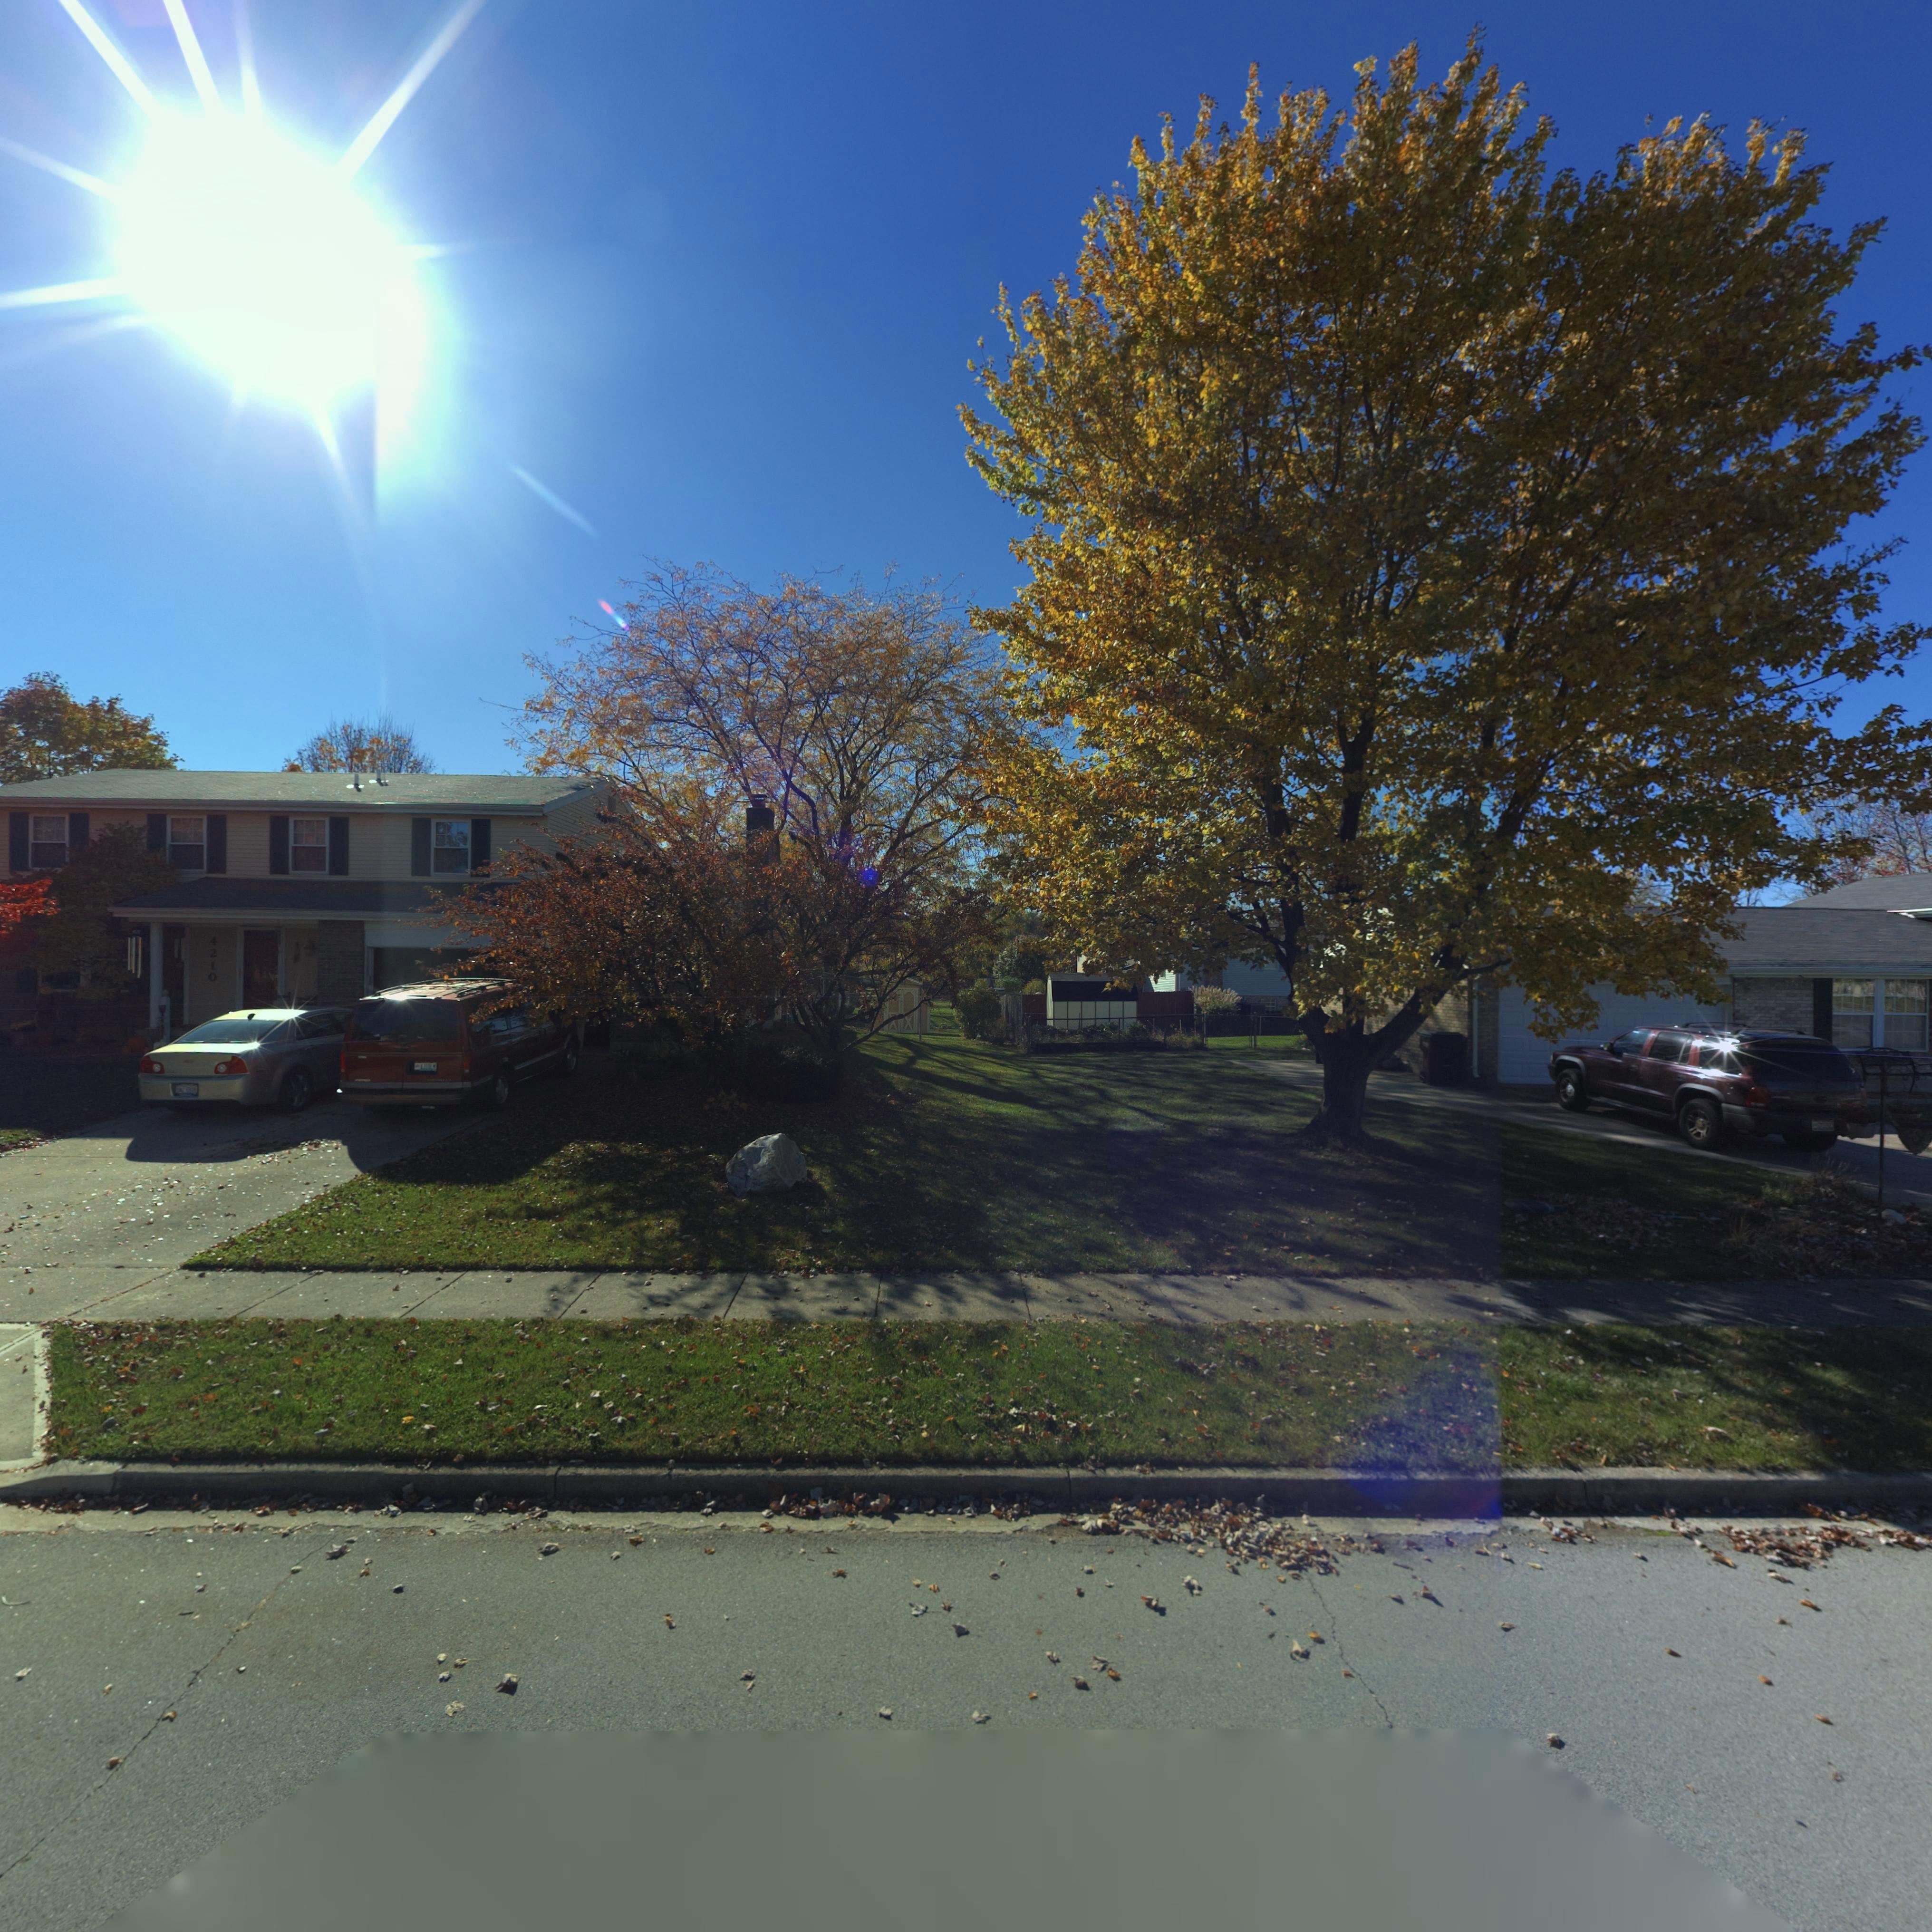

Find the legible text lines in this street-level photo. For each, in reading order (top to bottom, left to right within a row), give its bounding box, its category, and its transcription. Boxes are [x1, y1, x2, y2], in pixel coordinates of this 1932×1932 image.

[207, 935, 219, 983] StreetNumber: 4210